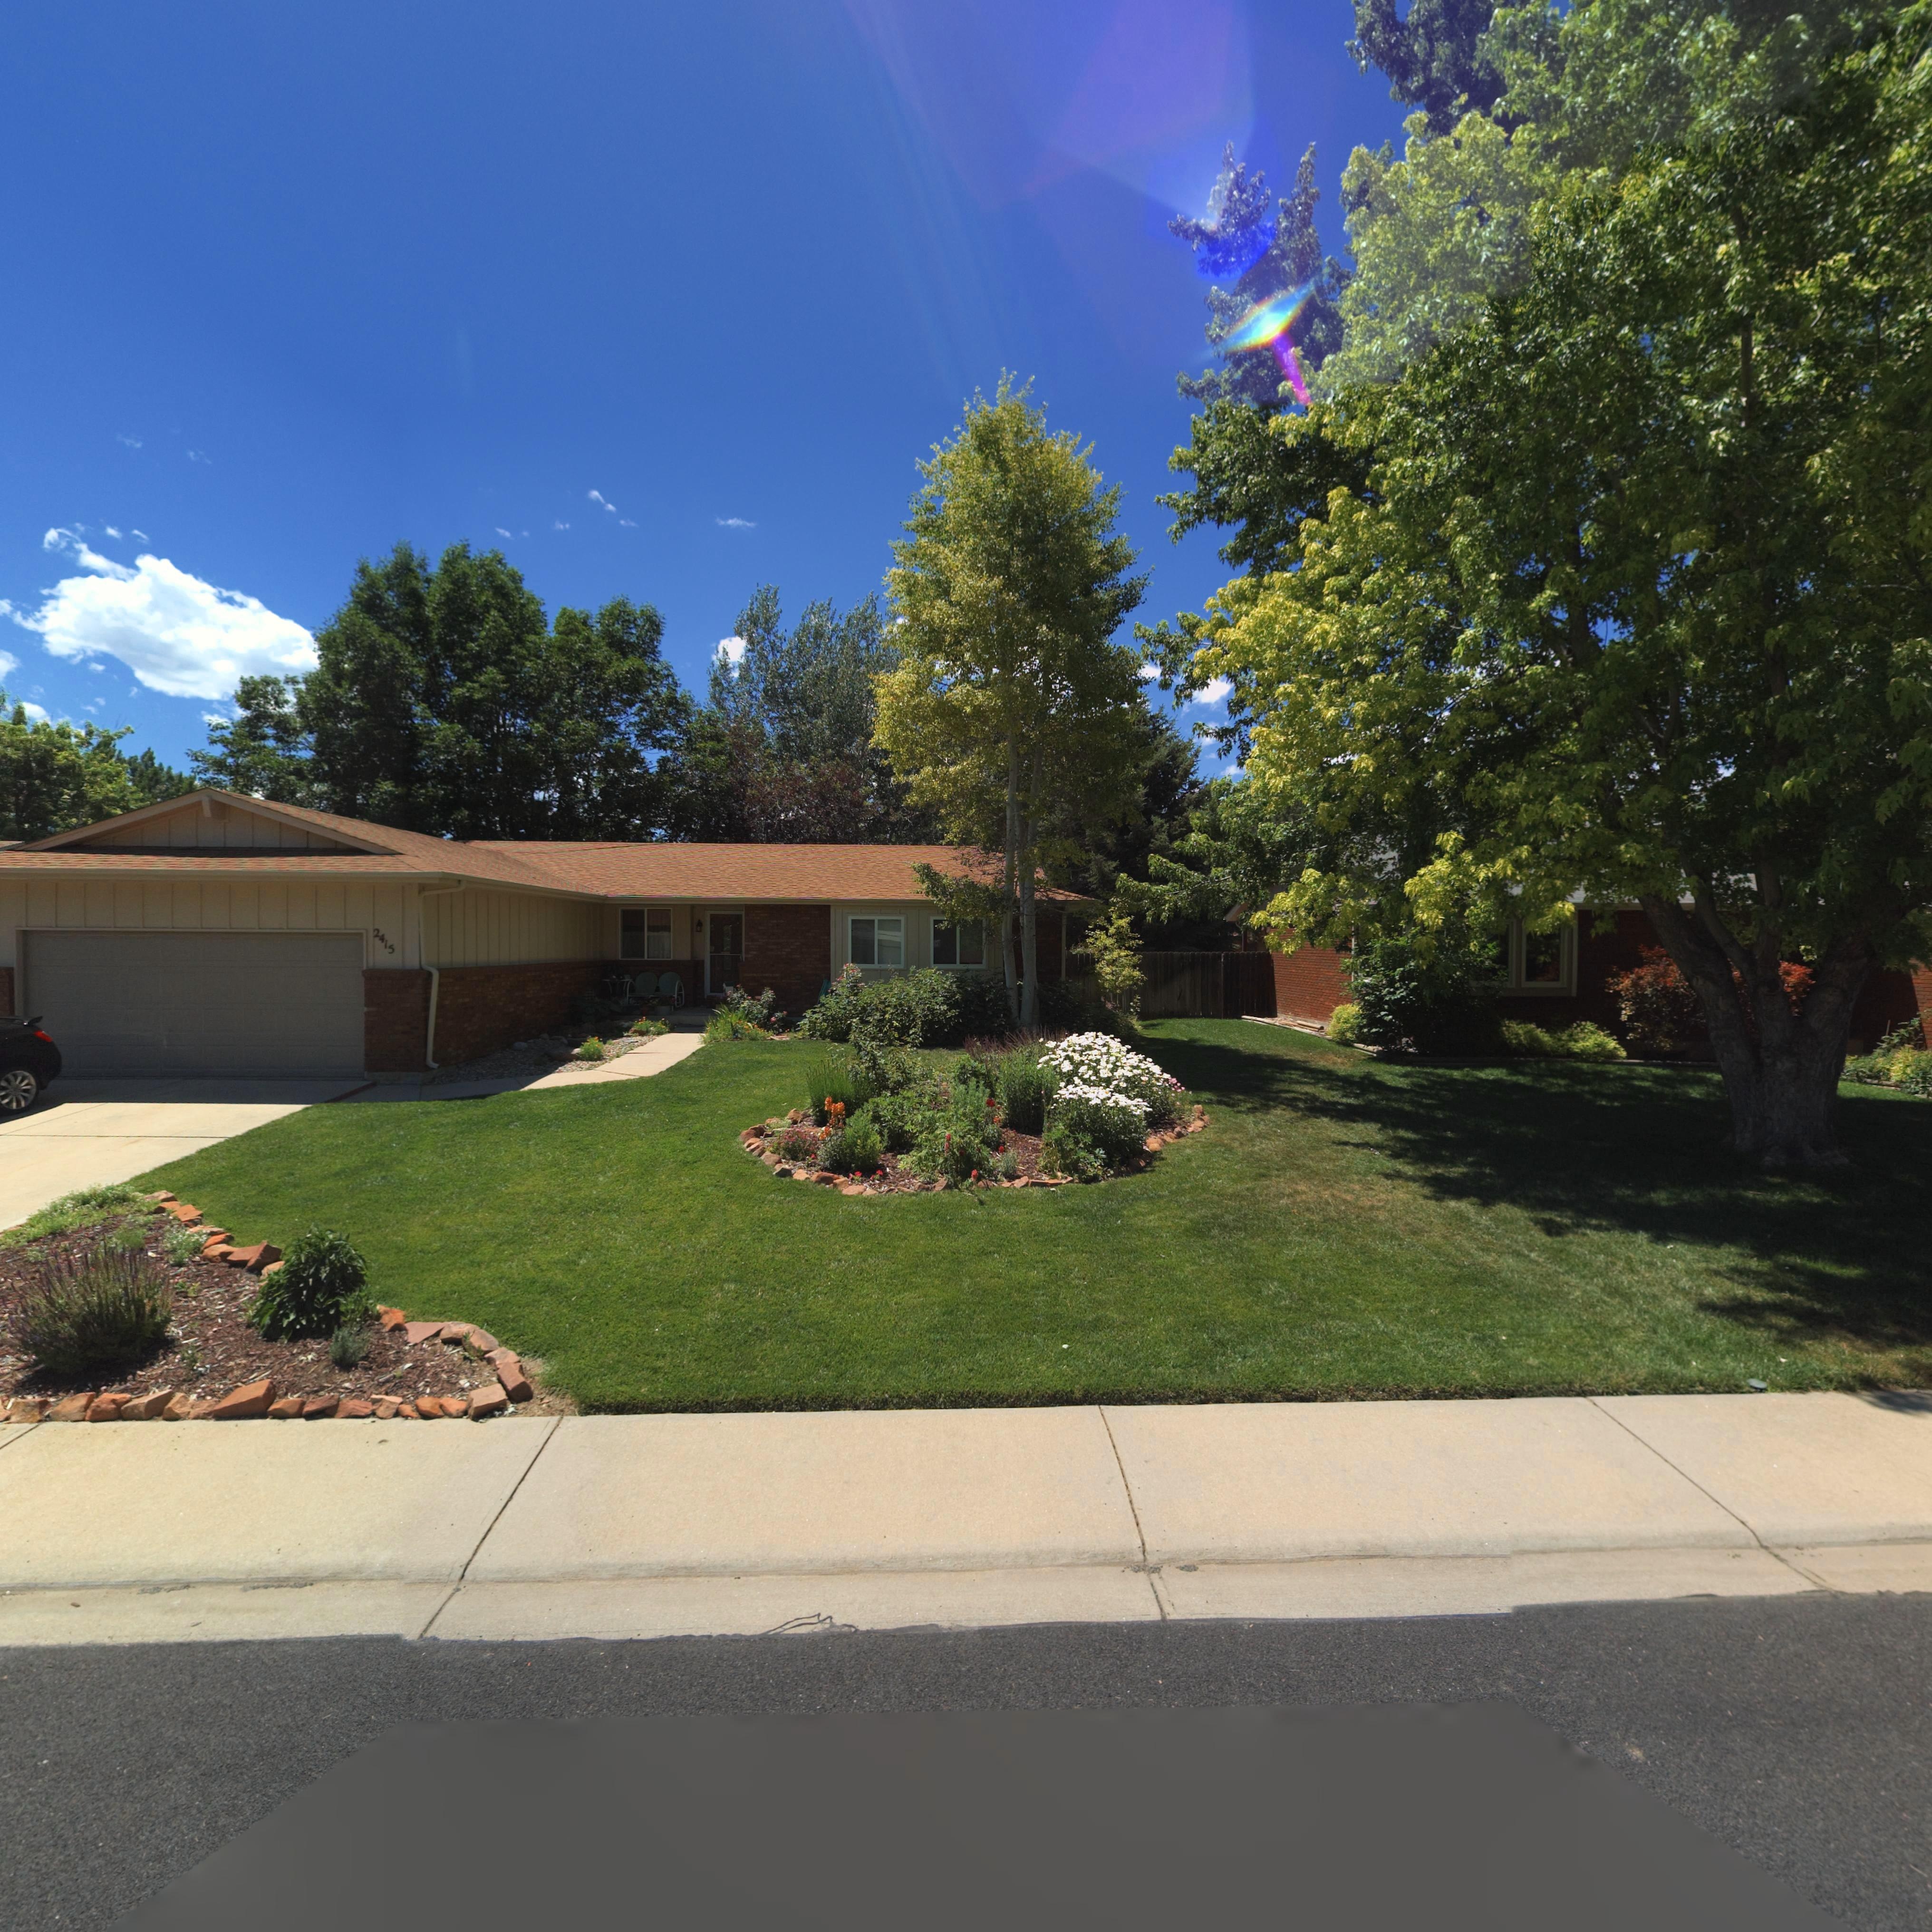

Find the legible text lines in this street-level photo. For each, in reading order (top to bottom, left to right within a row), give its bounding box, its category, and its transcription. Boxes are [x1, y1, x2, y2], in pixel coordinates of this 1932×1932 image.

[372, 927, 396, 955] StreetNumber: 2415